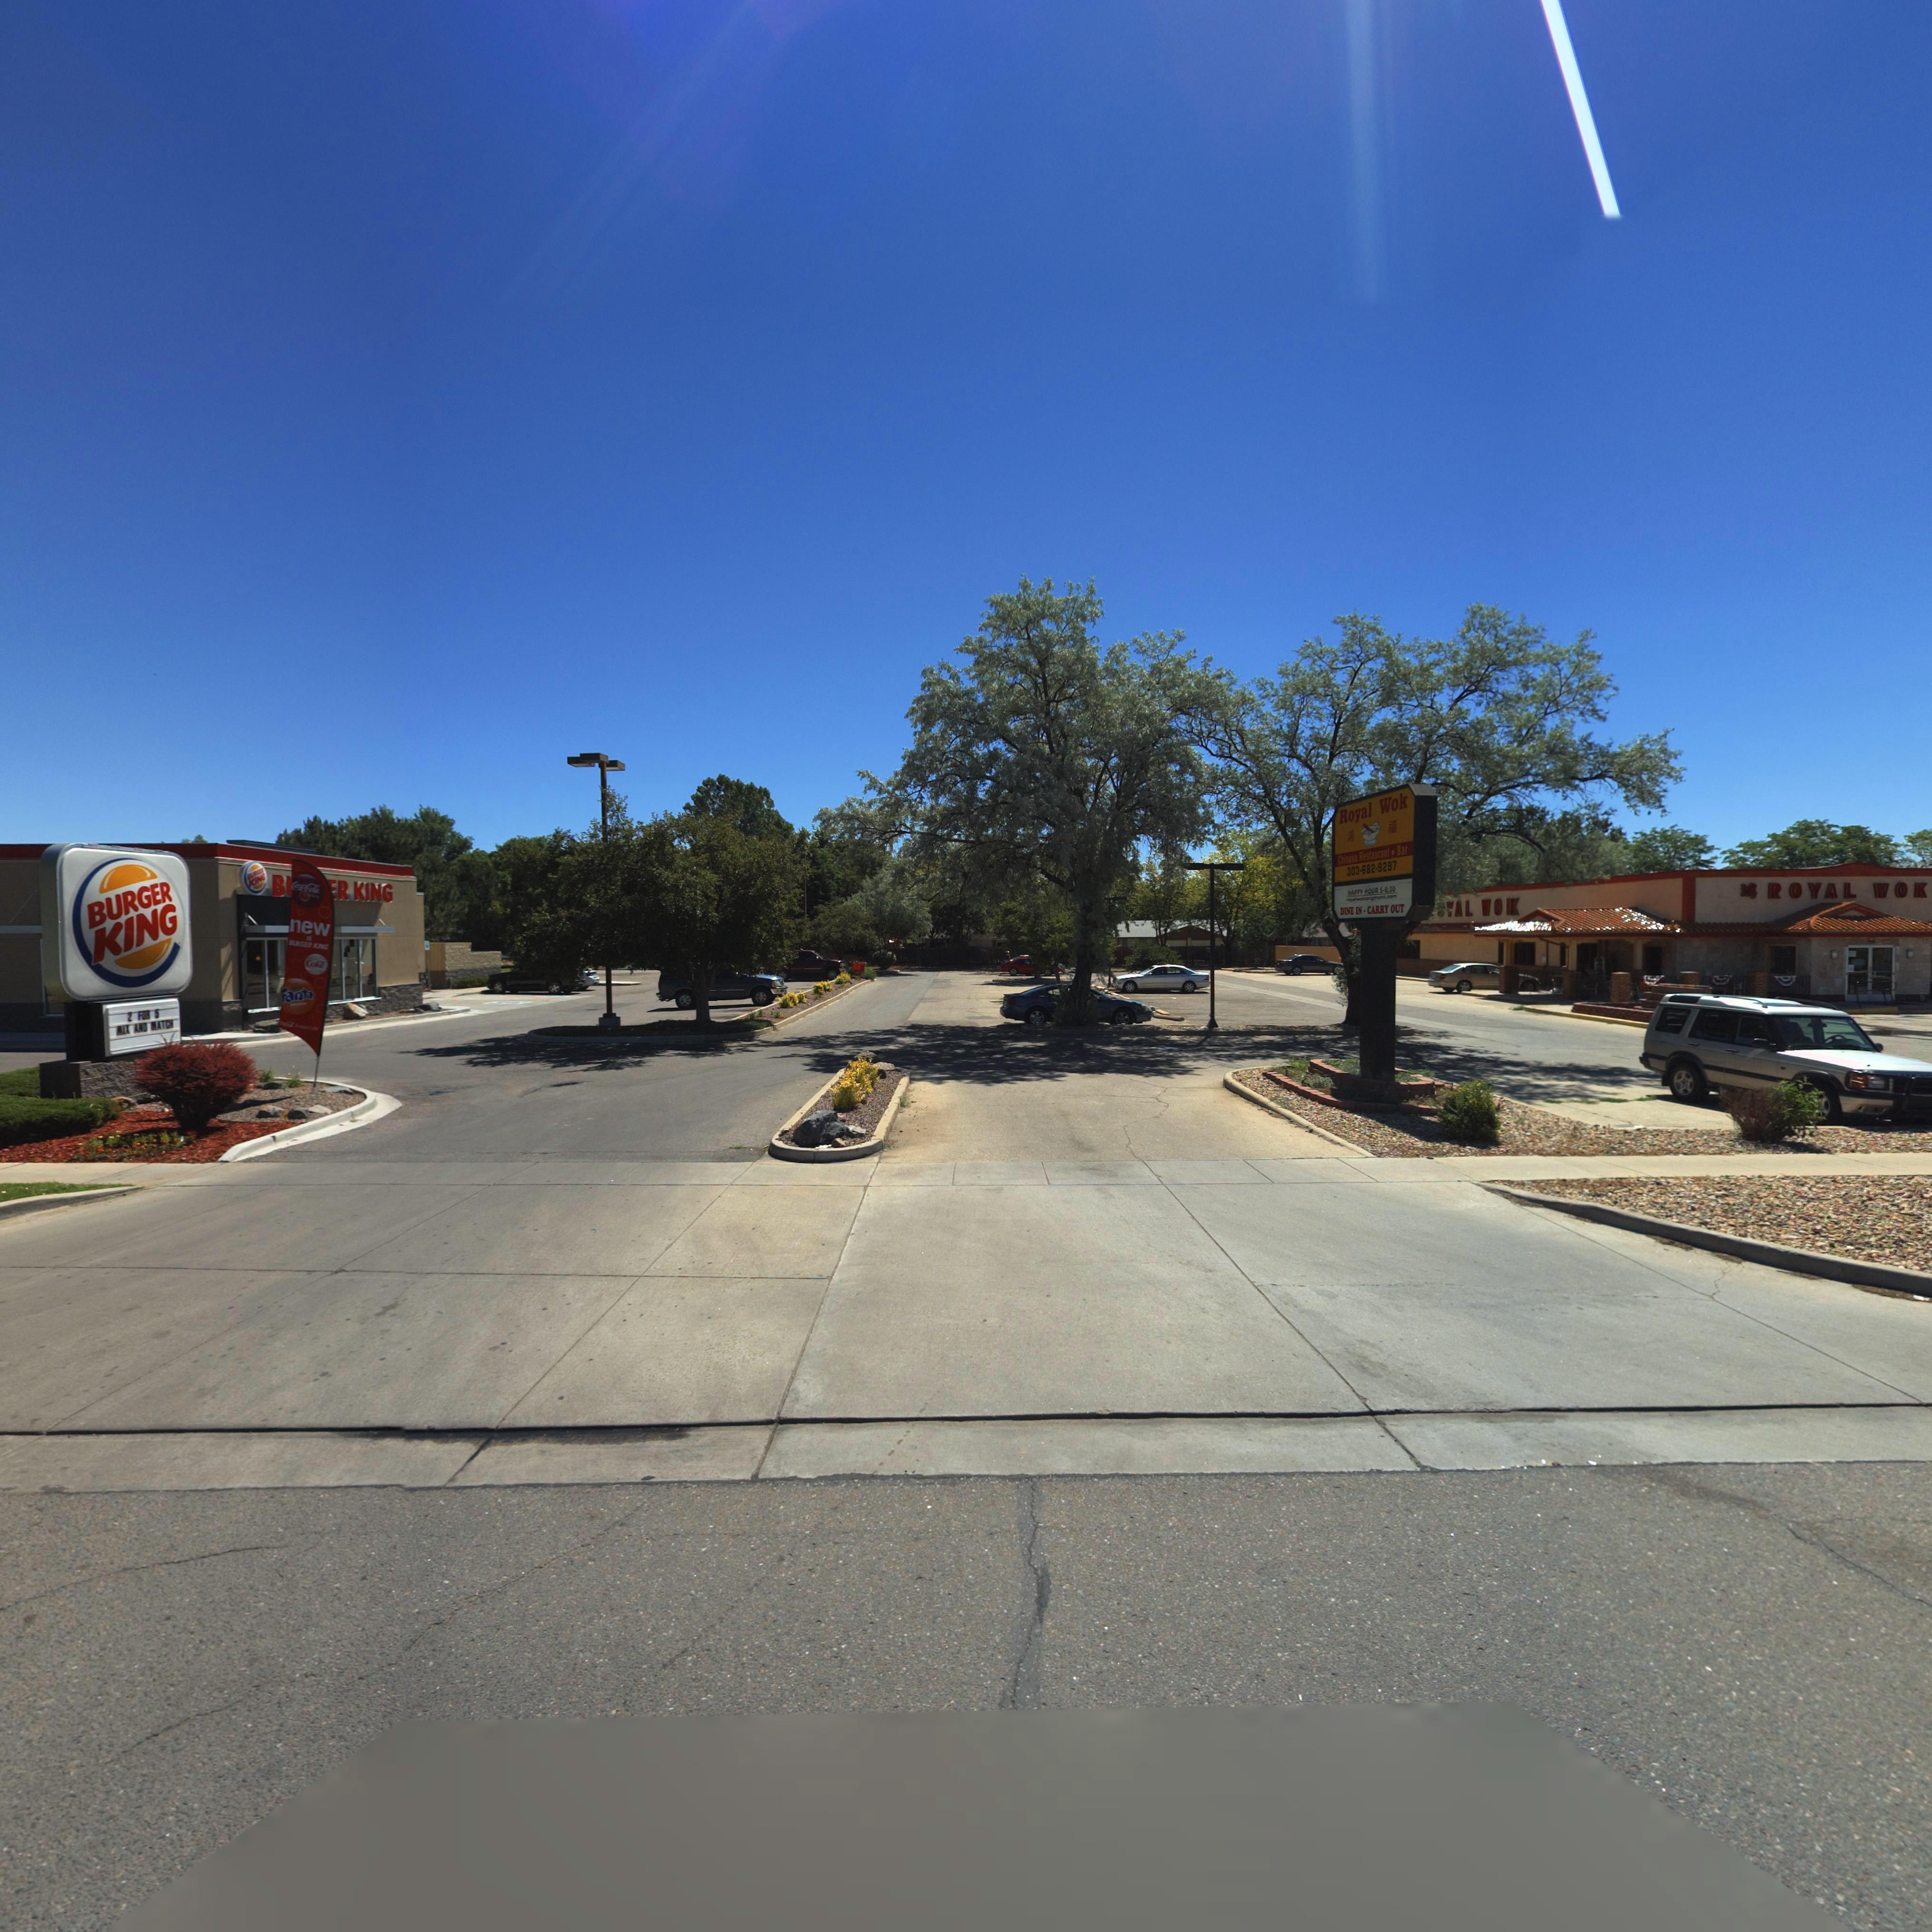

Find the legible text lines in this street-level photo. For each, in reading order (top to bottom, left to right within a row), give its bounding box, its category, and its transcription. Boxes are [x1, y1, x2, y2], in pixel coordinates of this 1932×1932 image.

[1339, 792, 1408, 824] BusinessName: ROYAL WOK
[86, 881, 173, 930] BusinessName: BURGER
[247, 868, 263, 880] BusinessName: BURGER
[248, 872, 265, 888] BusinessName: KING
[271, 873, 394, 903] BusinessName: B****R KING
[1445, 896, 1520, 918] BusinessName: *AL WOK
[1767, 882, 1928, 899] BusinessName: ROYAL WOK
[92, 903, 177, 965] BusinessName: KING